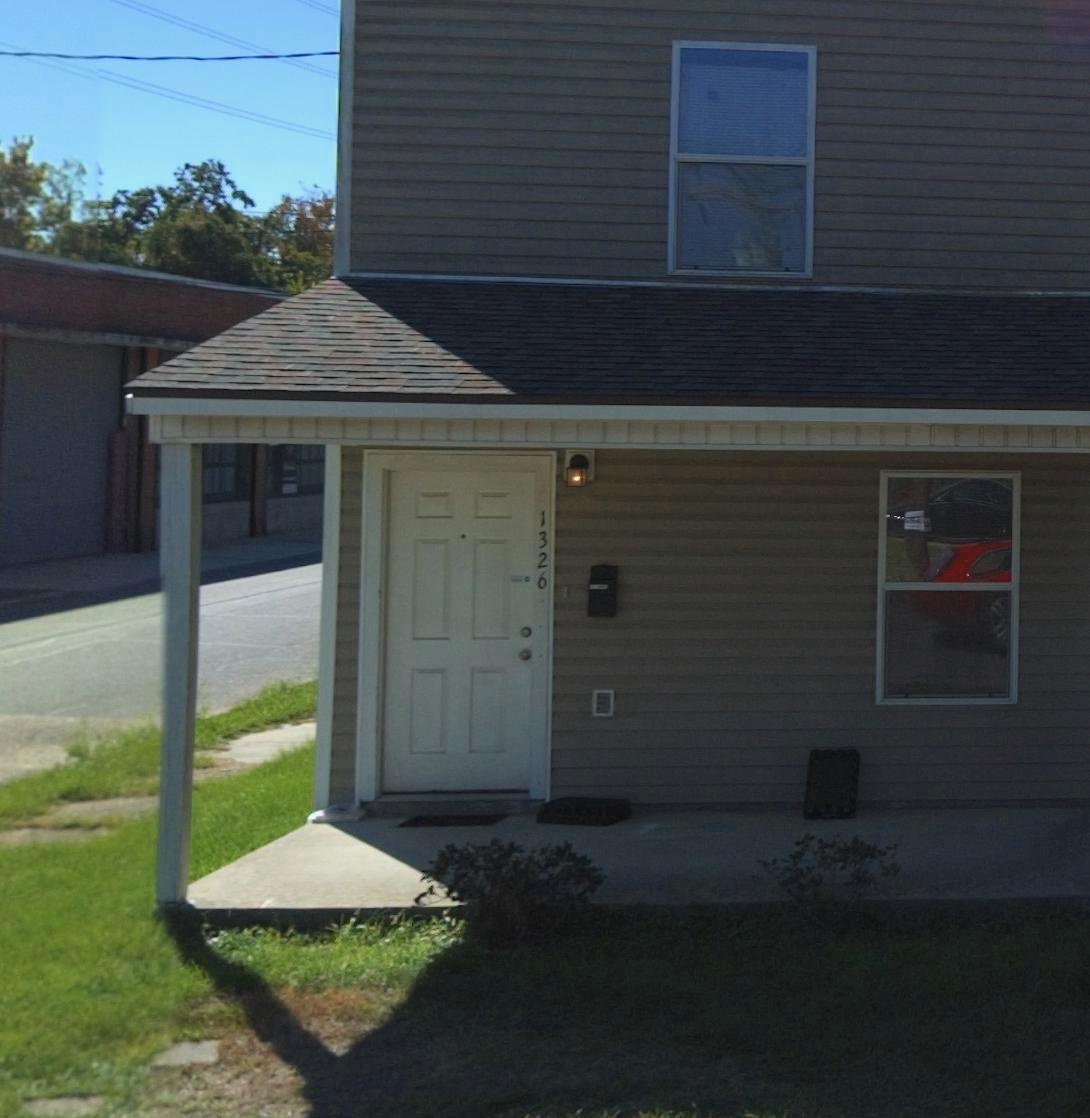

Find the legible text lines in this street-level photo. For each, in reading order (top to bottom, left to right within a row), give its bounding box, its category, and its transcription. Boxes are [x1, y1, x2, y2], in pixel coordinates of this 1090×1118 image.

[534, 507, 550, 593] StreetNumber: 1326